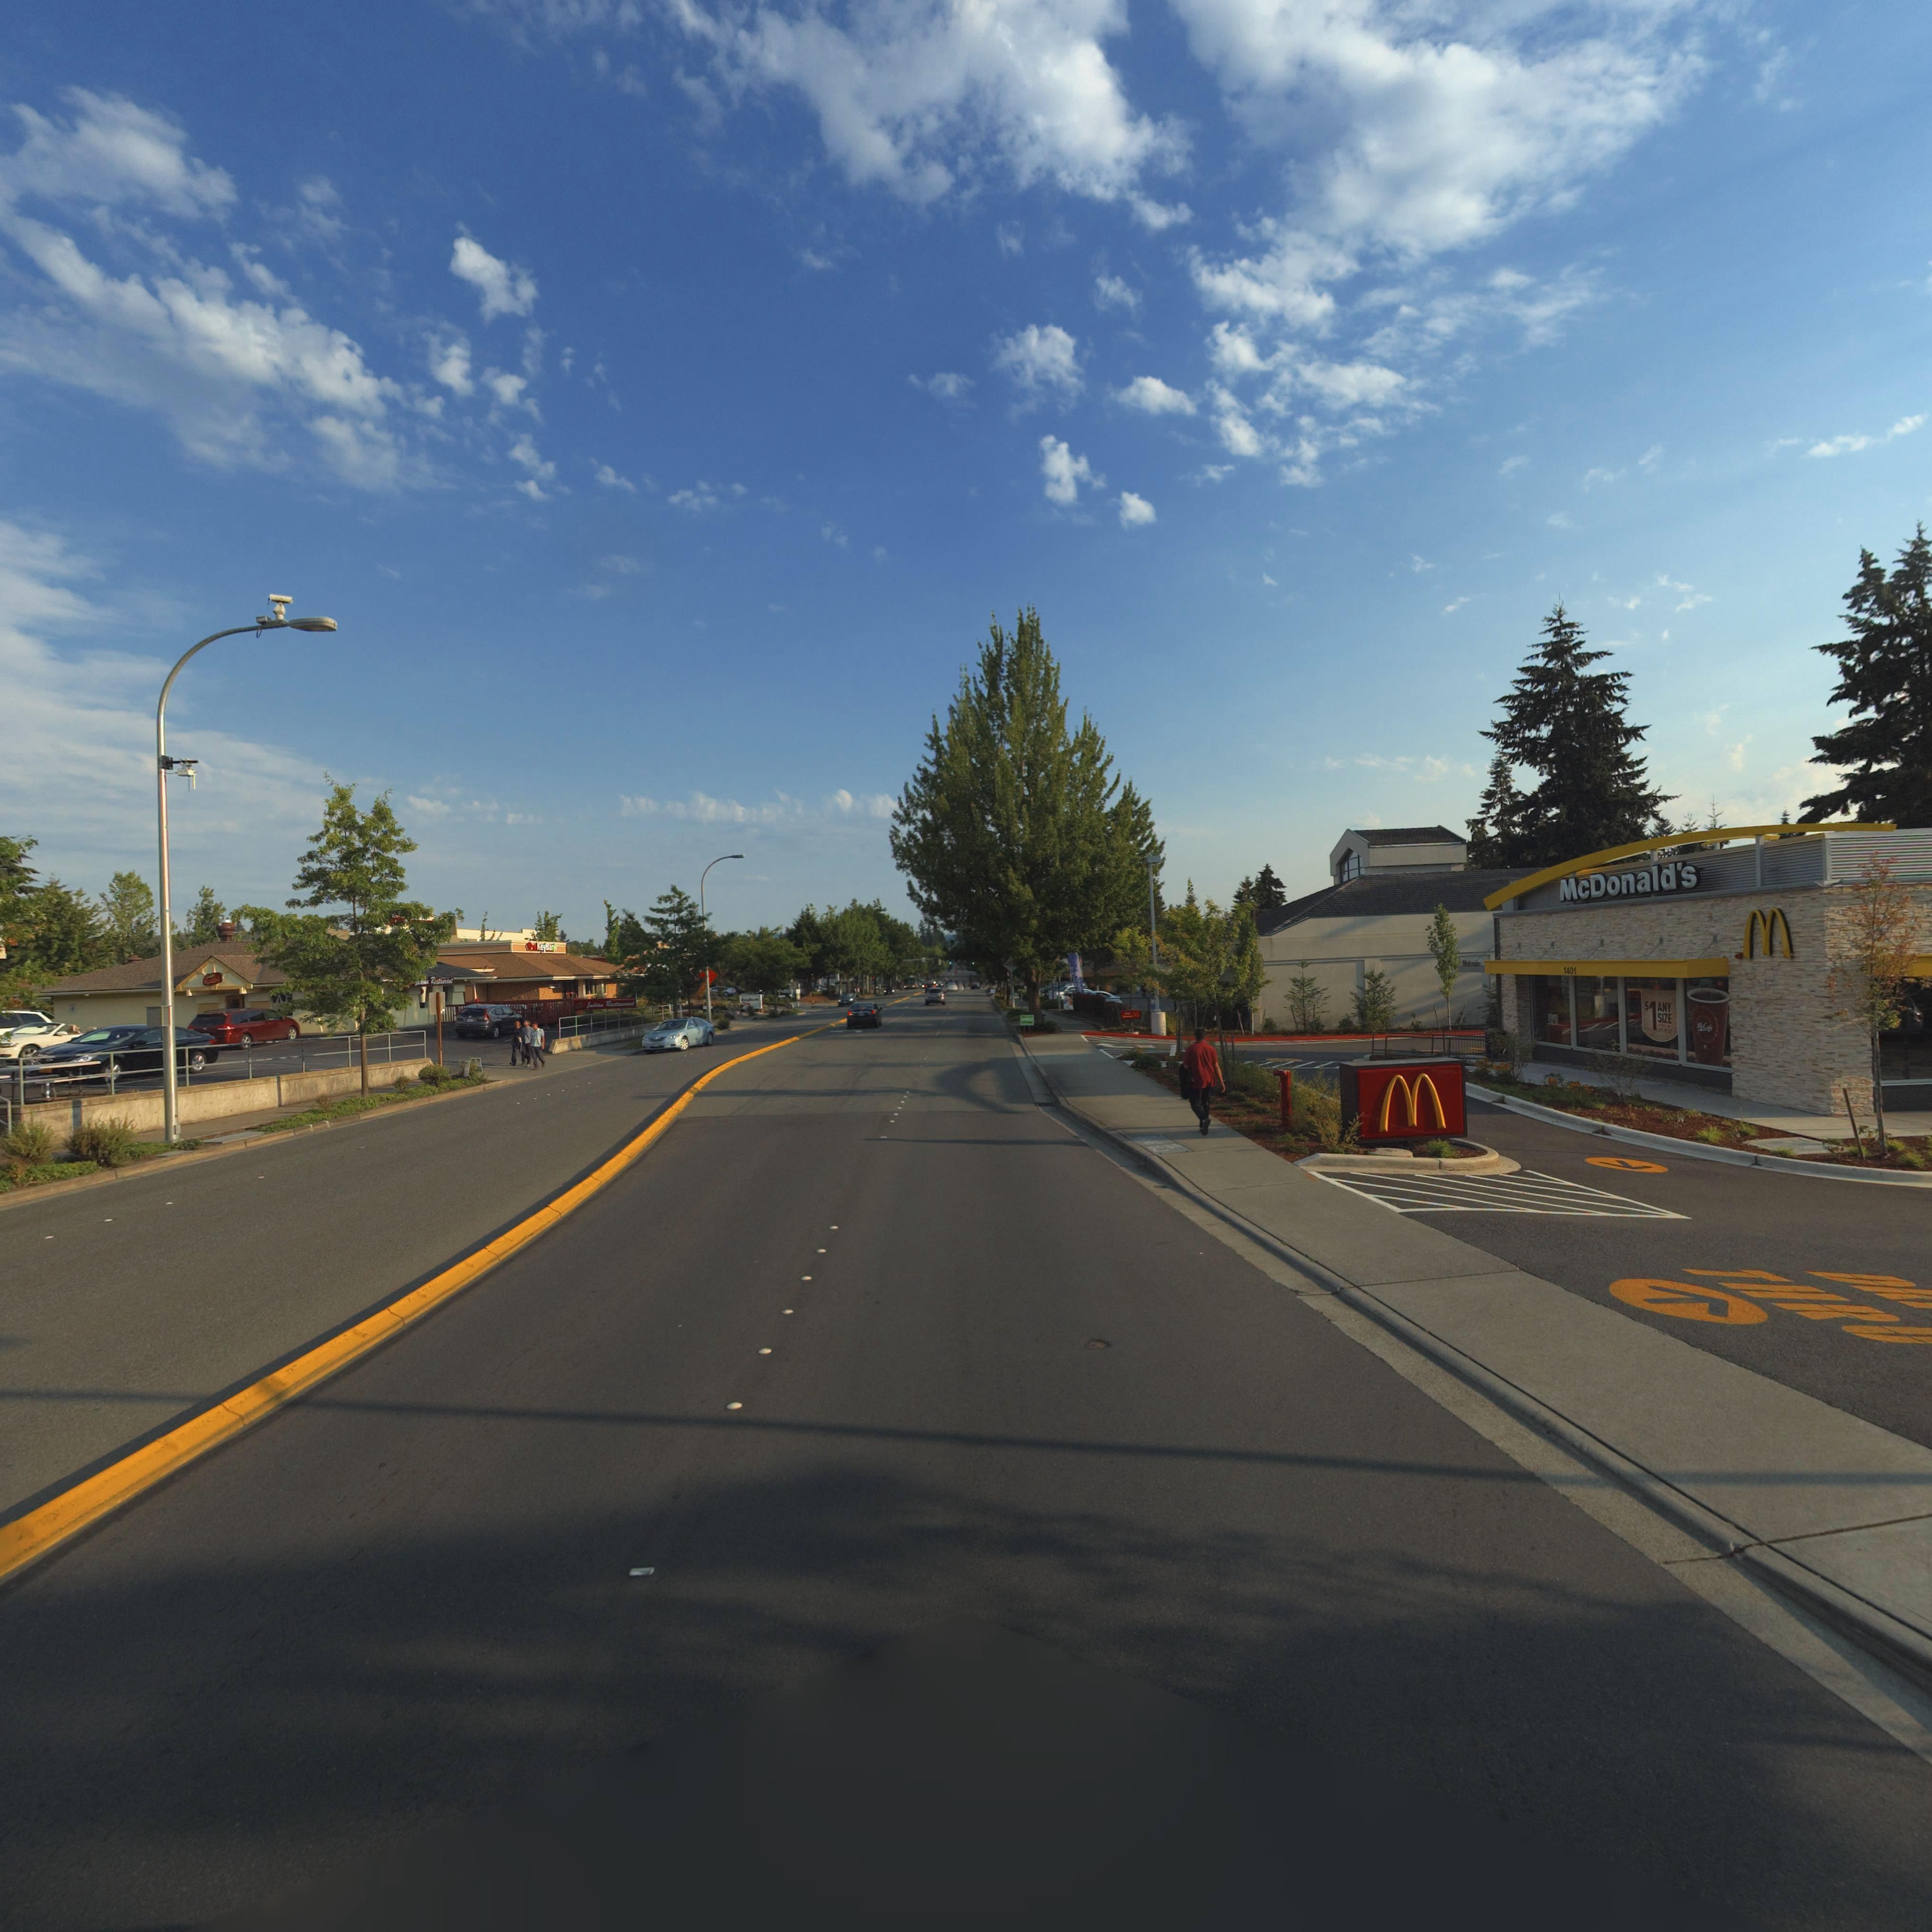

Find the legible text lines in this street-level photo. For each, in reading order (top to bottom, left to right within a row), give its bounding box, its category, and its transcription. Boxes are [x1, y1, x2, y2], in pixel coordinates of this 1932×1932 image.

[1557, 860, 1700, 902] BusinessName: McDonald*s
[1564, 967, 1576, 975] StreetNumber: 1401